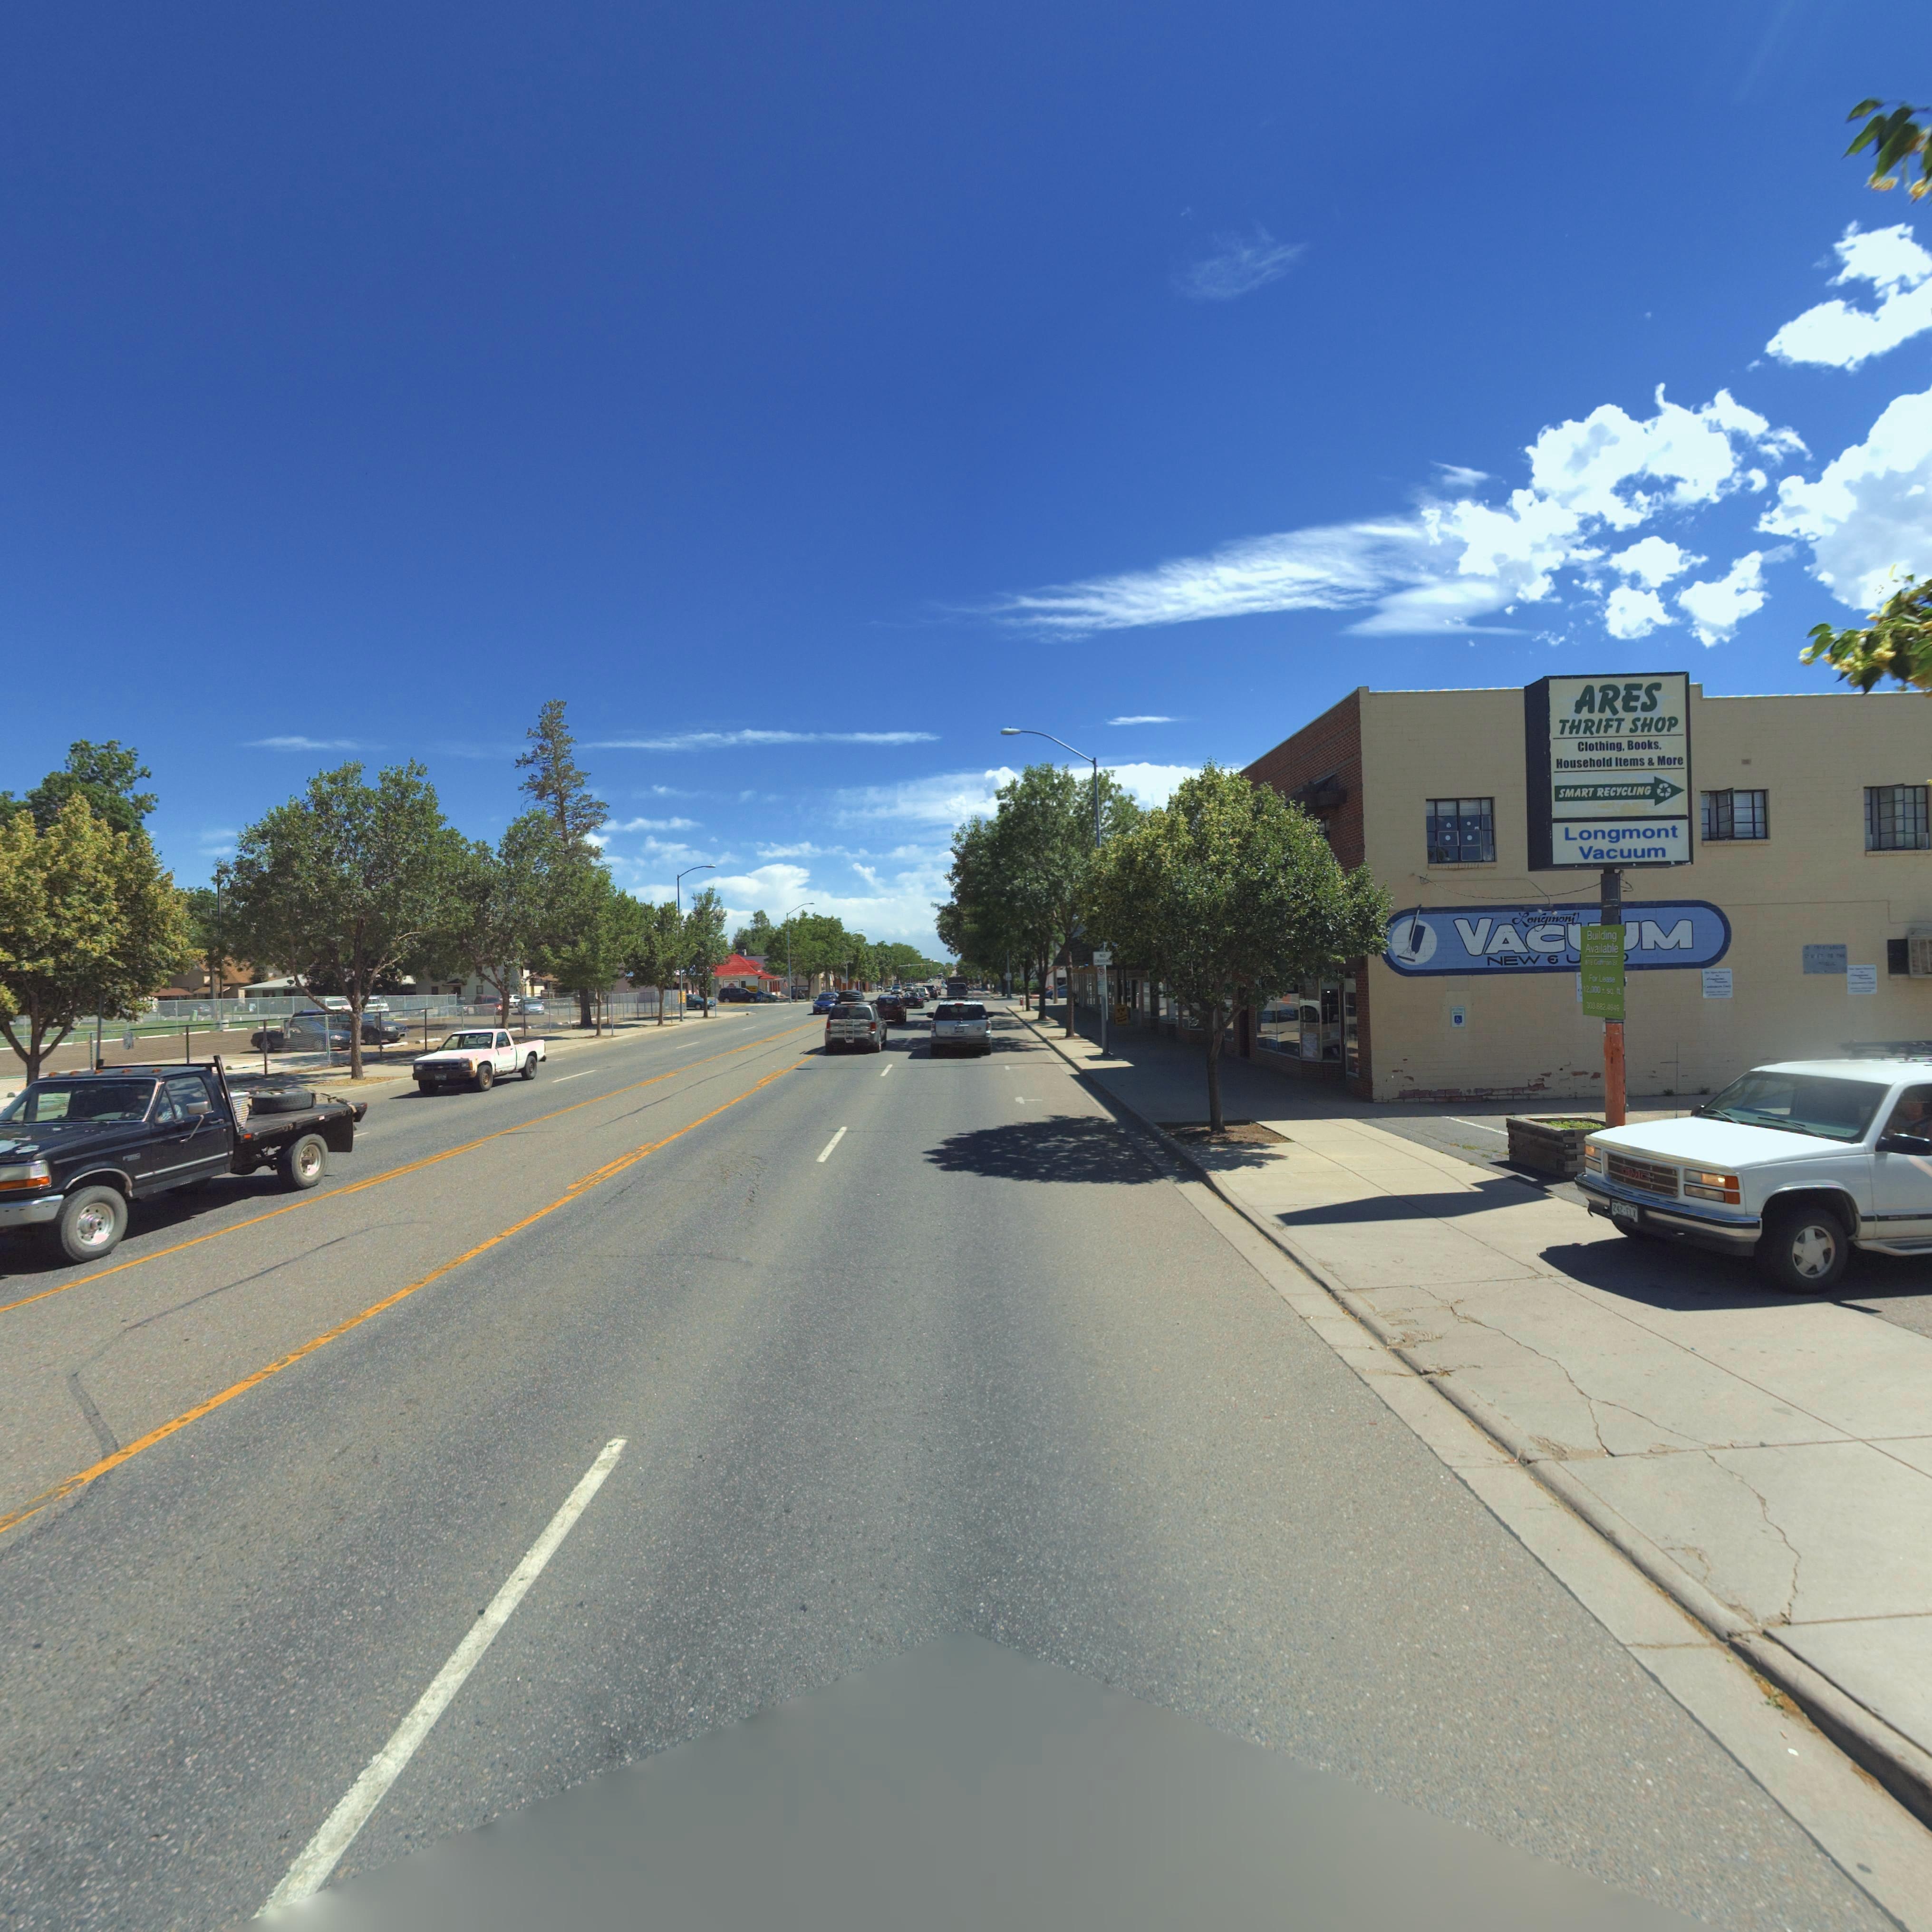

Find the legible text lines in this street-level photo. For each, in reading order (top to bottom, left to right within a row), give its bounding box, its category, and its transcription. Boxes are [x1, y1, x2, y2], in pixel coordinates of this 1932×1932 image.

[1573, 681, 1663, 716] BusinessName: ARES
[1559, 715, 1679, 736] BusinessName: THRIFT SHOP
[1564, 824, 1678, 844] BusinessName: Longmont
[1577, 845, 1666, 860] BusinessName: Vacuum
[1511, 911, 1579, 932] BusinessName: Longmont
[1451, 917, 1694, 956] BusinessName: VAC**M